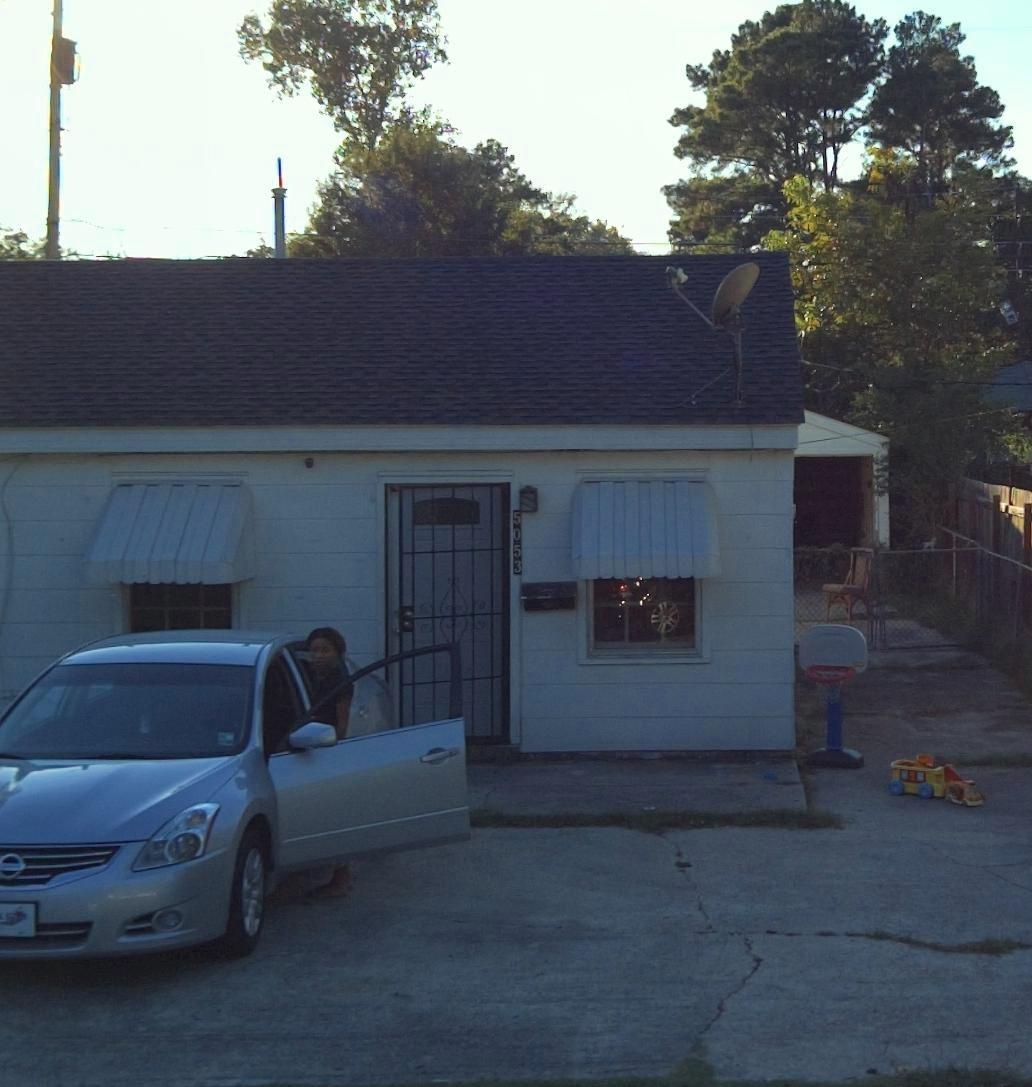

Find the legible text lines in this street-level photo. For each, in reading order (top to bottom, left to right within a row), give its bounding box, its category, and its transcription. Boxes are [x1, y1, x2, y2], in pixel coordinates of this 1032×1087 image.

[513, 510, 522, 575] StreetNumber: 5053